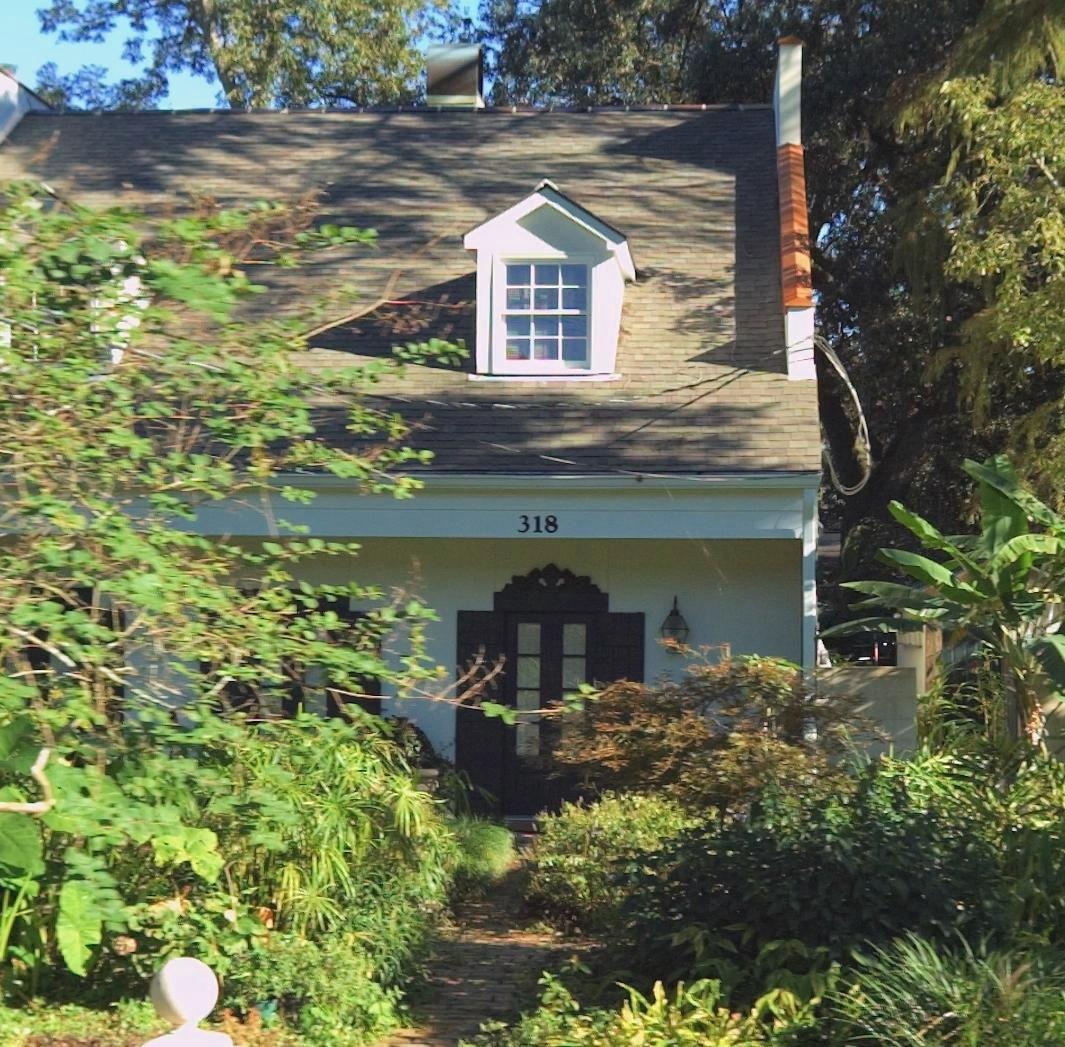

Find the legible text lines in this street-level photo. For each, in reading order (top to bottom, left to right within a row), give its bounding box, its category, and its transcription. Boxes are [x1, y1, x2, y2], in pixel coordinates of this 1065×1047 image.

[514, 512, 562, 536] StreetNumber: 318